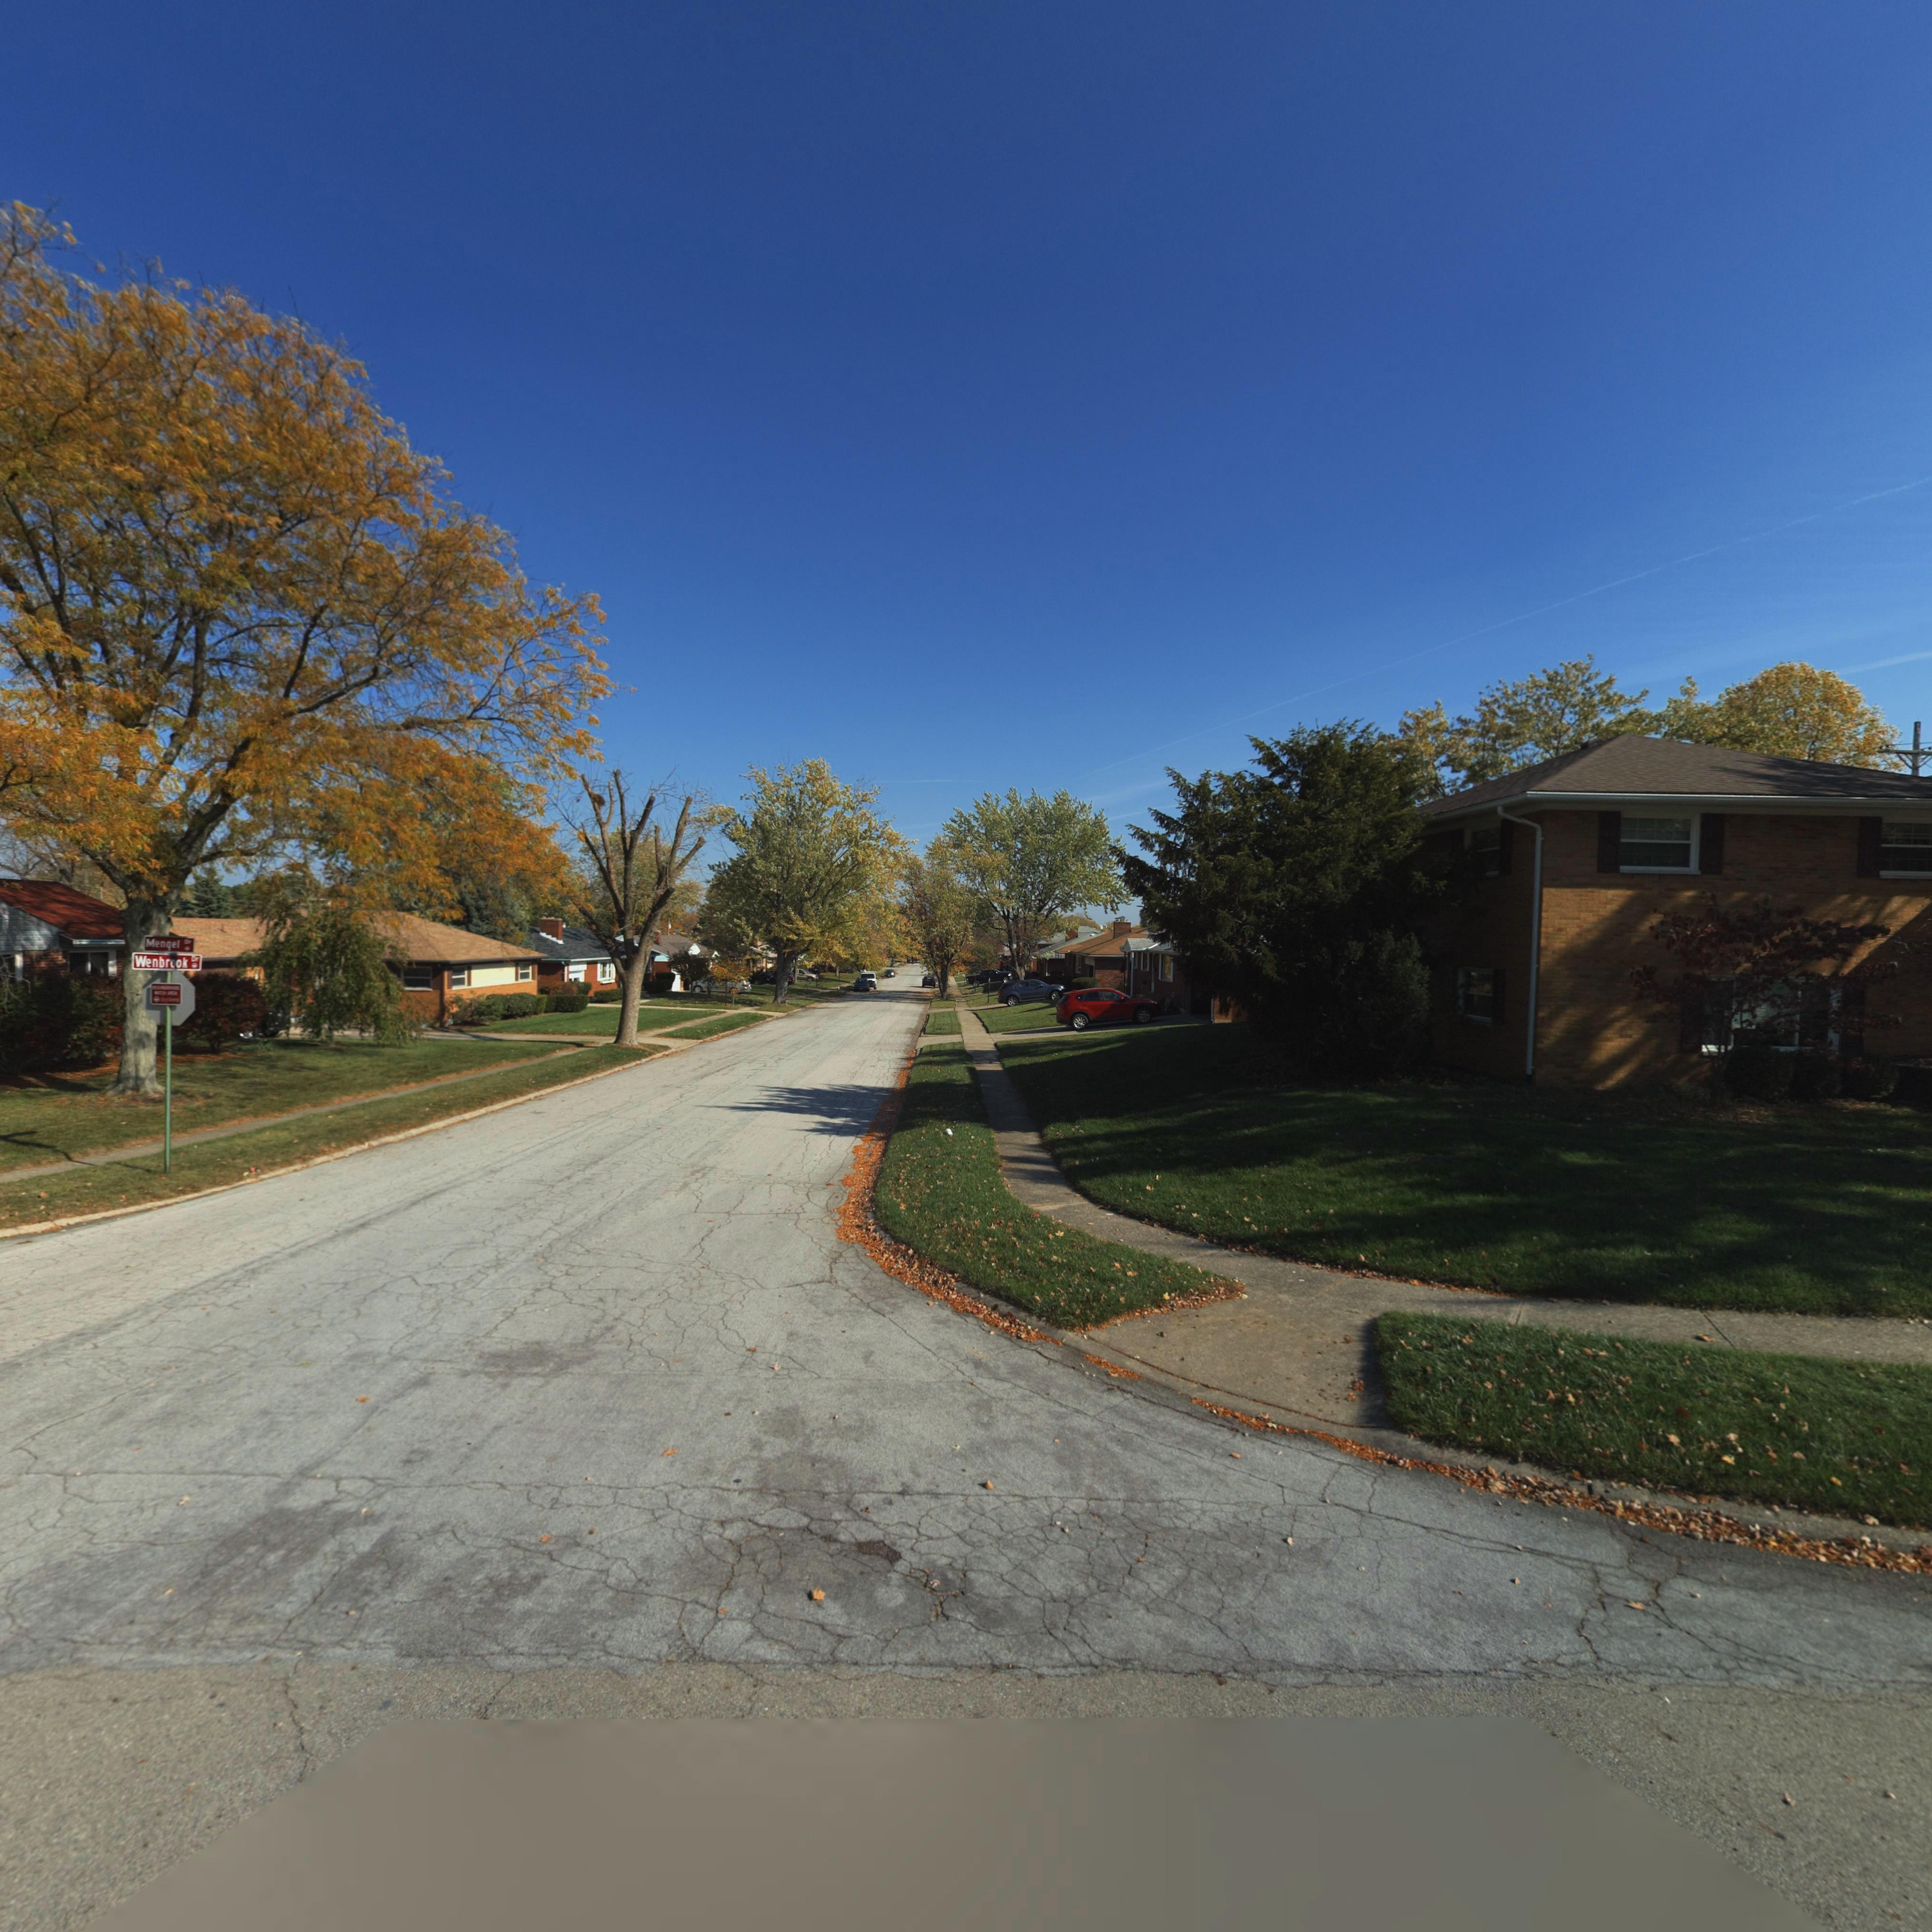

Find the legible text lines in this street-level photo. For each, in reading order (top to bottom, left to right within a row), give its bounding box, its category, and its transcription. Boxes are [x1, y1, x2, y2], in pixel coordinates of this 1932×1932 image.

[145, 938, 193, 952] StreetName: Mengel Dr
[134, 955, 200, 968] StreetName: Wenbrook Dr